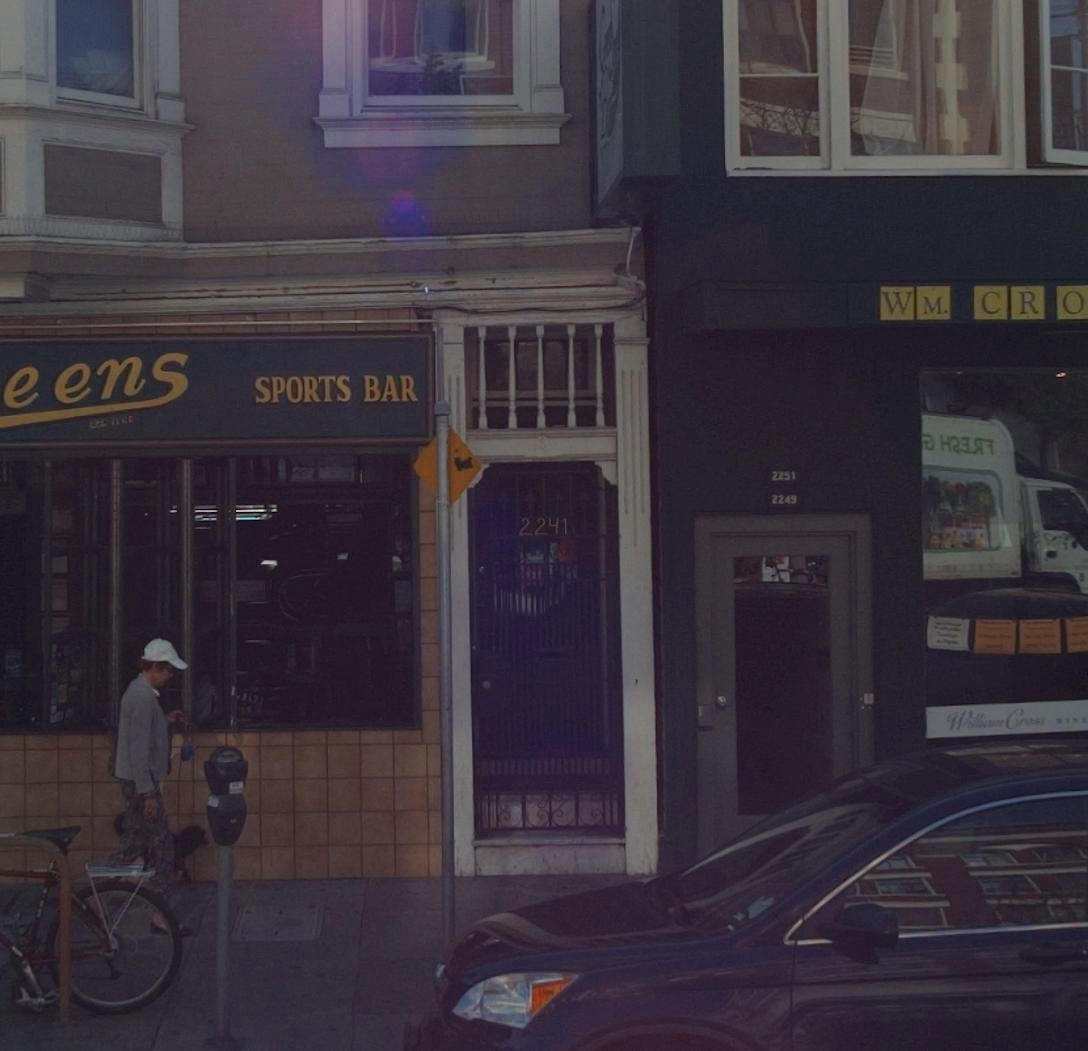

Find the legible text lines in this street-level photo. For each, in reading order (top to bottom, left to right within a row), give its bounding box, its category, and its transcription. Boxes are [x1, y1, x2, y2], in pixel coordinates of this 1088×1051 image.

[879, 288, 1086, 317] BusinessName: WM. CRO
[1, 348, 190, 428] BusinessName: eens
[252, 372, 417, 405] BusinessName: SPORTS BAR
[920, 427, 996, 457] None: * H****
[770, 468, 796, 480] StreetNumber: 2251
[770, 492, 799, 505] StreetNumber: 2249
[518, 514, 568, 538] StreetNumber: 2241
[945, 706, 1045, 734] BusinessName: William Cross